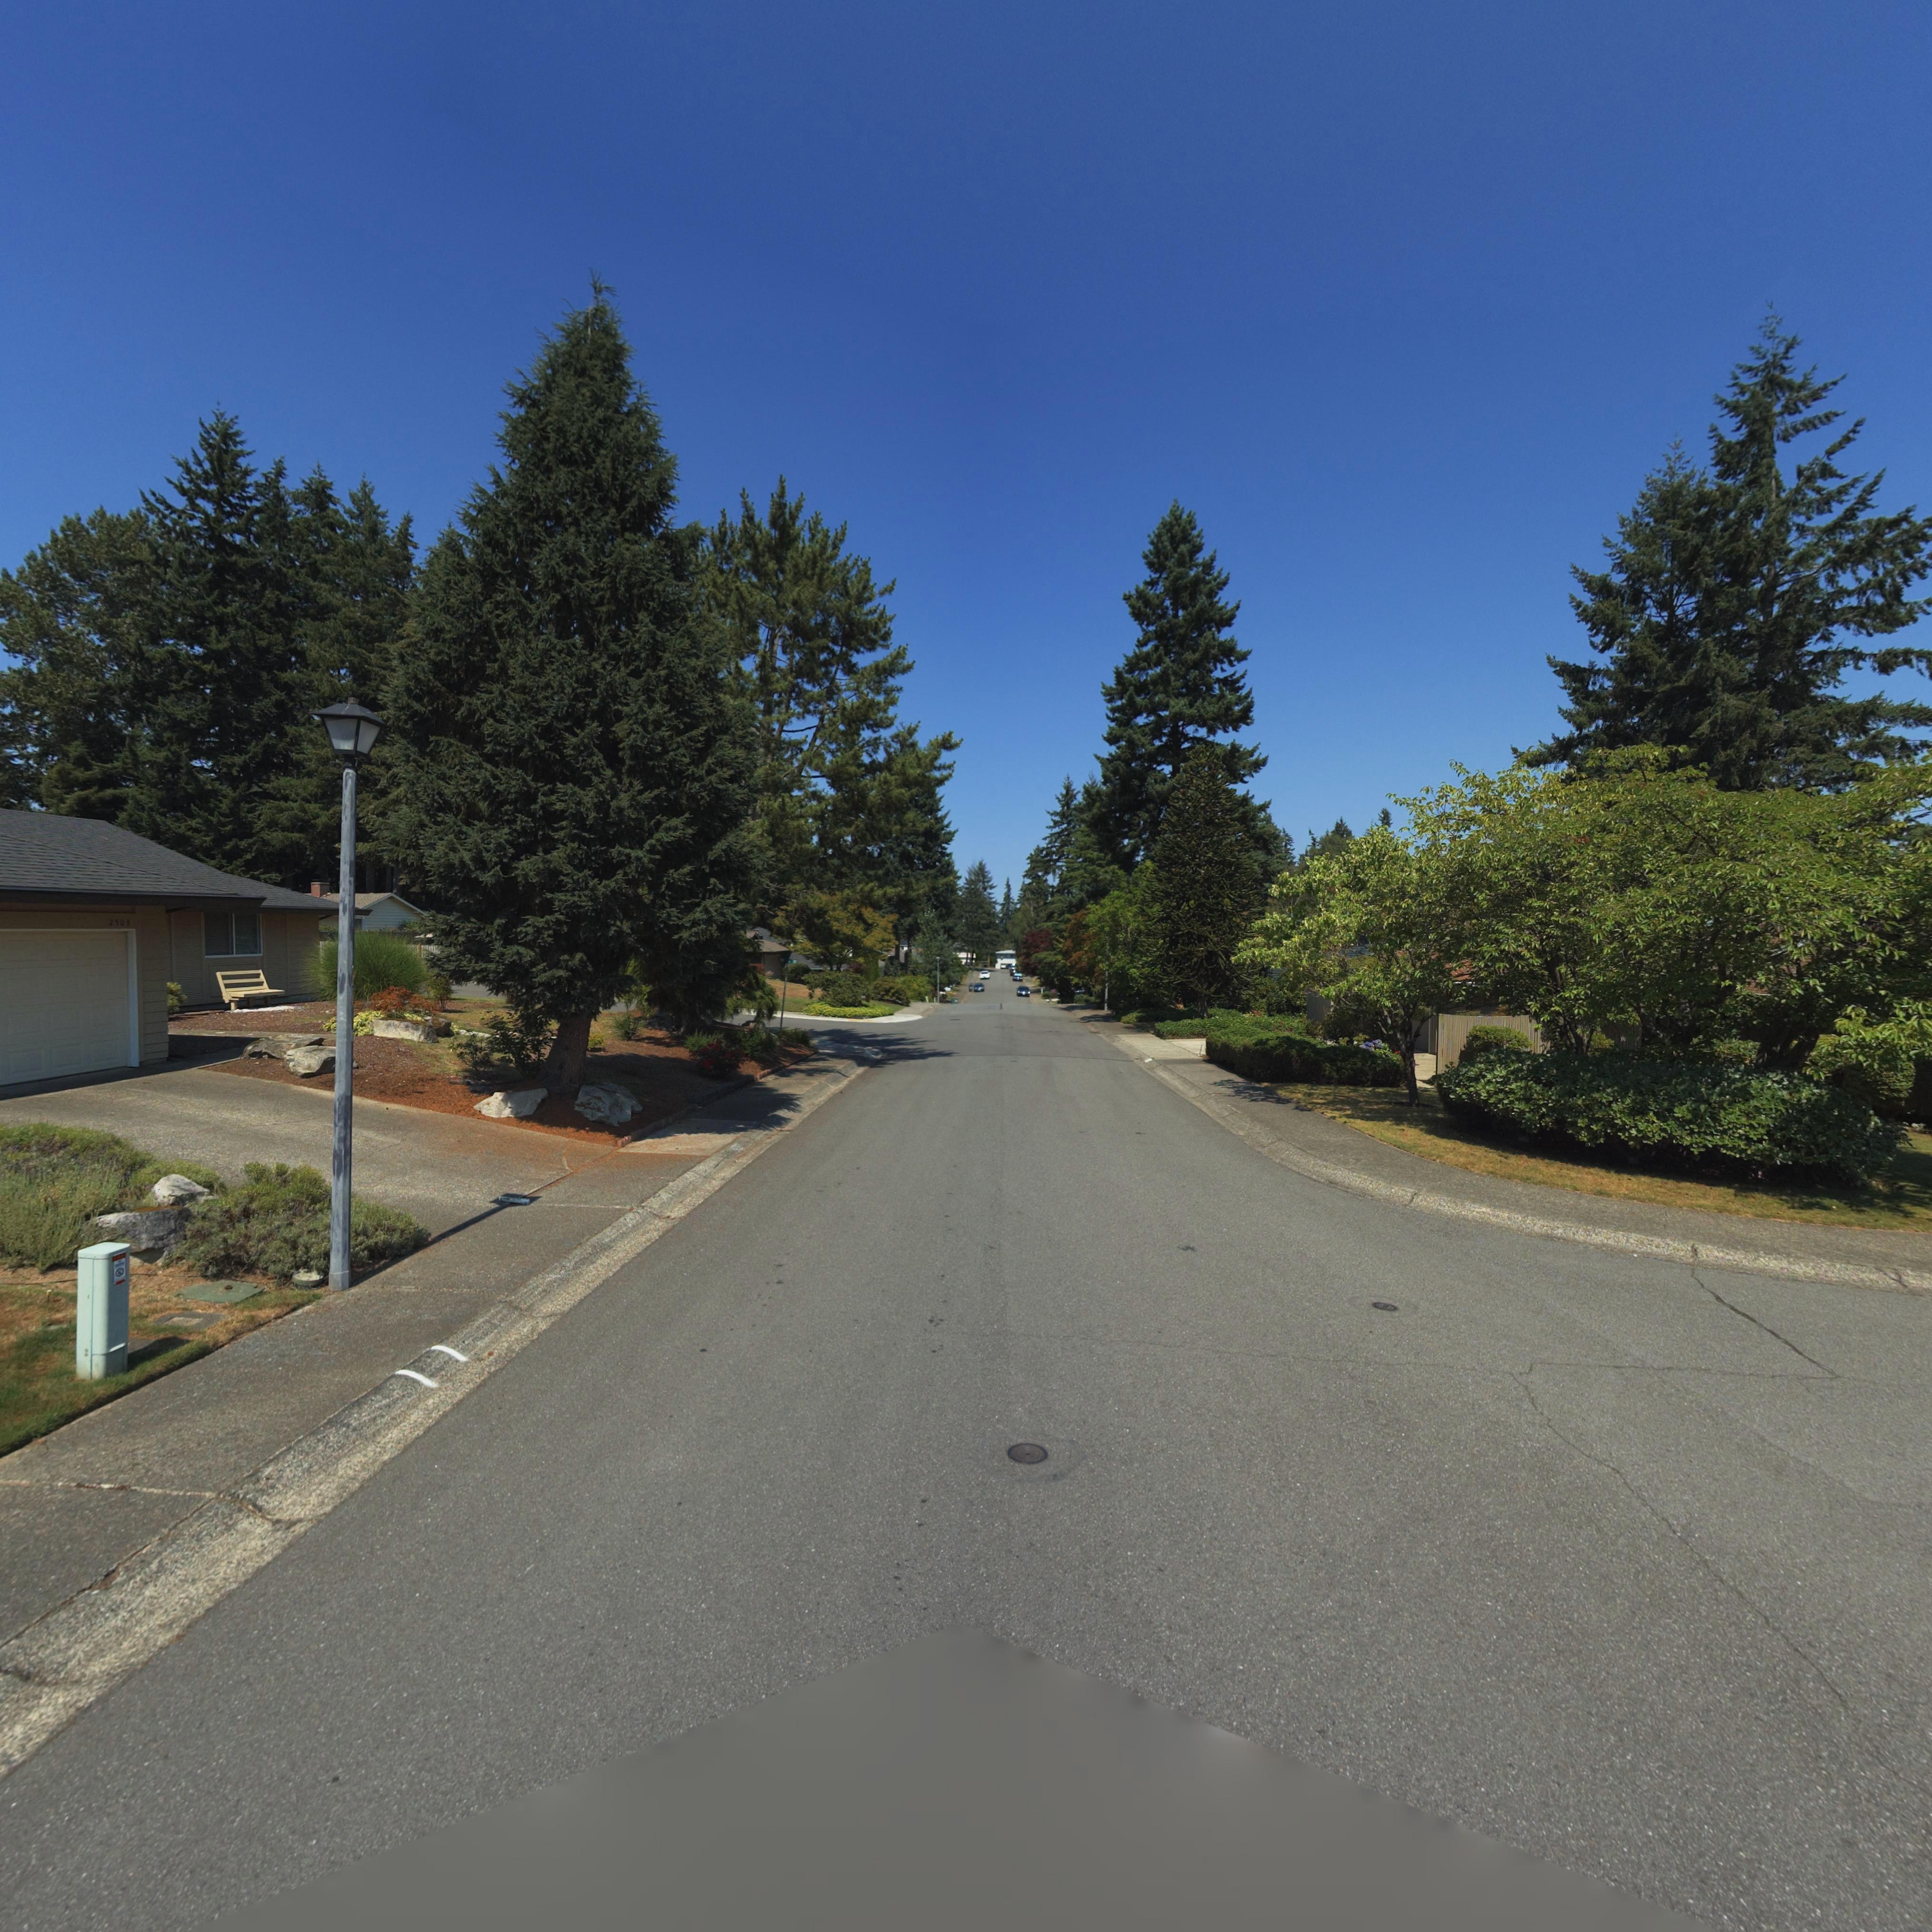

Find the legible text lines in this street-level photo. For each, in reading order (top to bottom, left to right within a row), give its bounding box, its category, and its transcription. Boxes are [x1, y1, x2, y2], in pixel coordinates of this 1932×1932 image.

[108, 918, 131, 926] StreetNumber: 2503